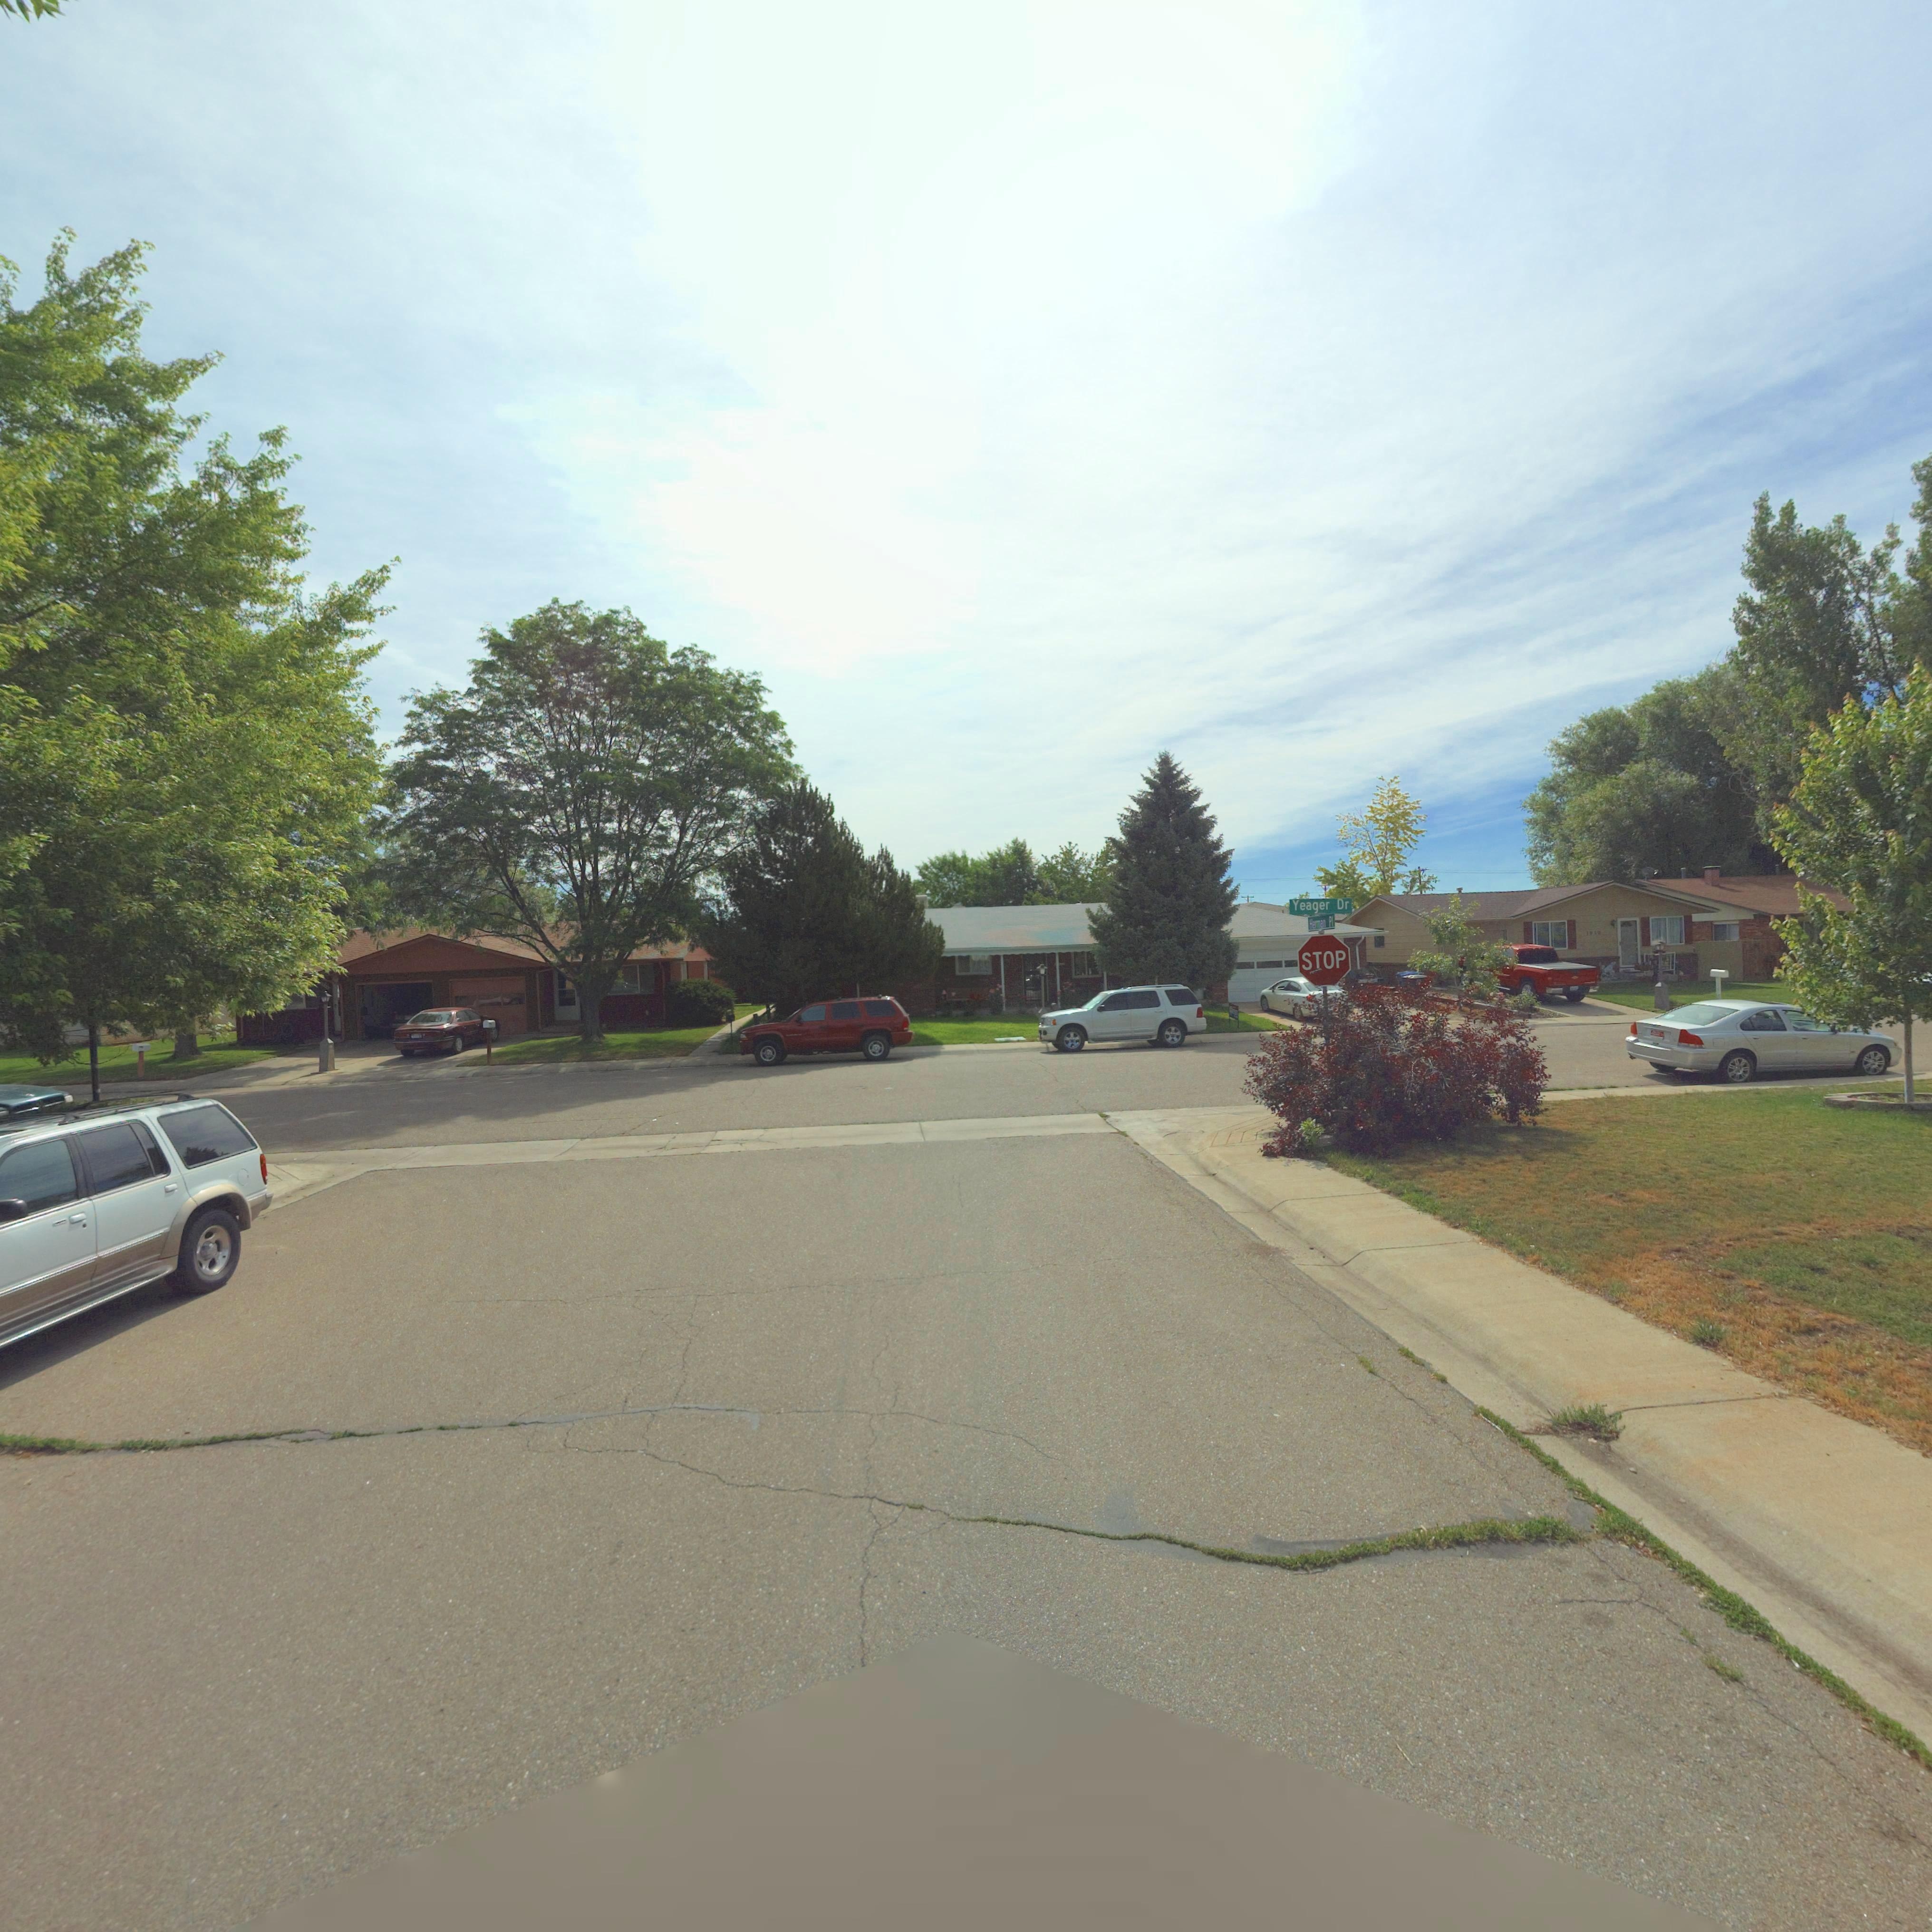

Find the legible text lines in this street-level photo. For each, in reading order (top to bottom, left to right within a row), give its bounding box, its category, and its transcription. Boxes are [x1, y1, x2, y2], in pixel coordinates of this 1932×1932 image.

[1292, 898, 1350, 914] StreetName: Yeager Dr
[1308, 915, 1333, 929] StreetName: Herman Pl
[1586, 930, 1601, 936] StreetNumber: 19*0